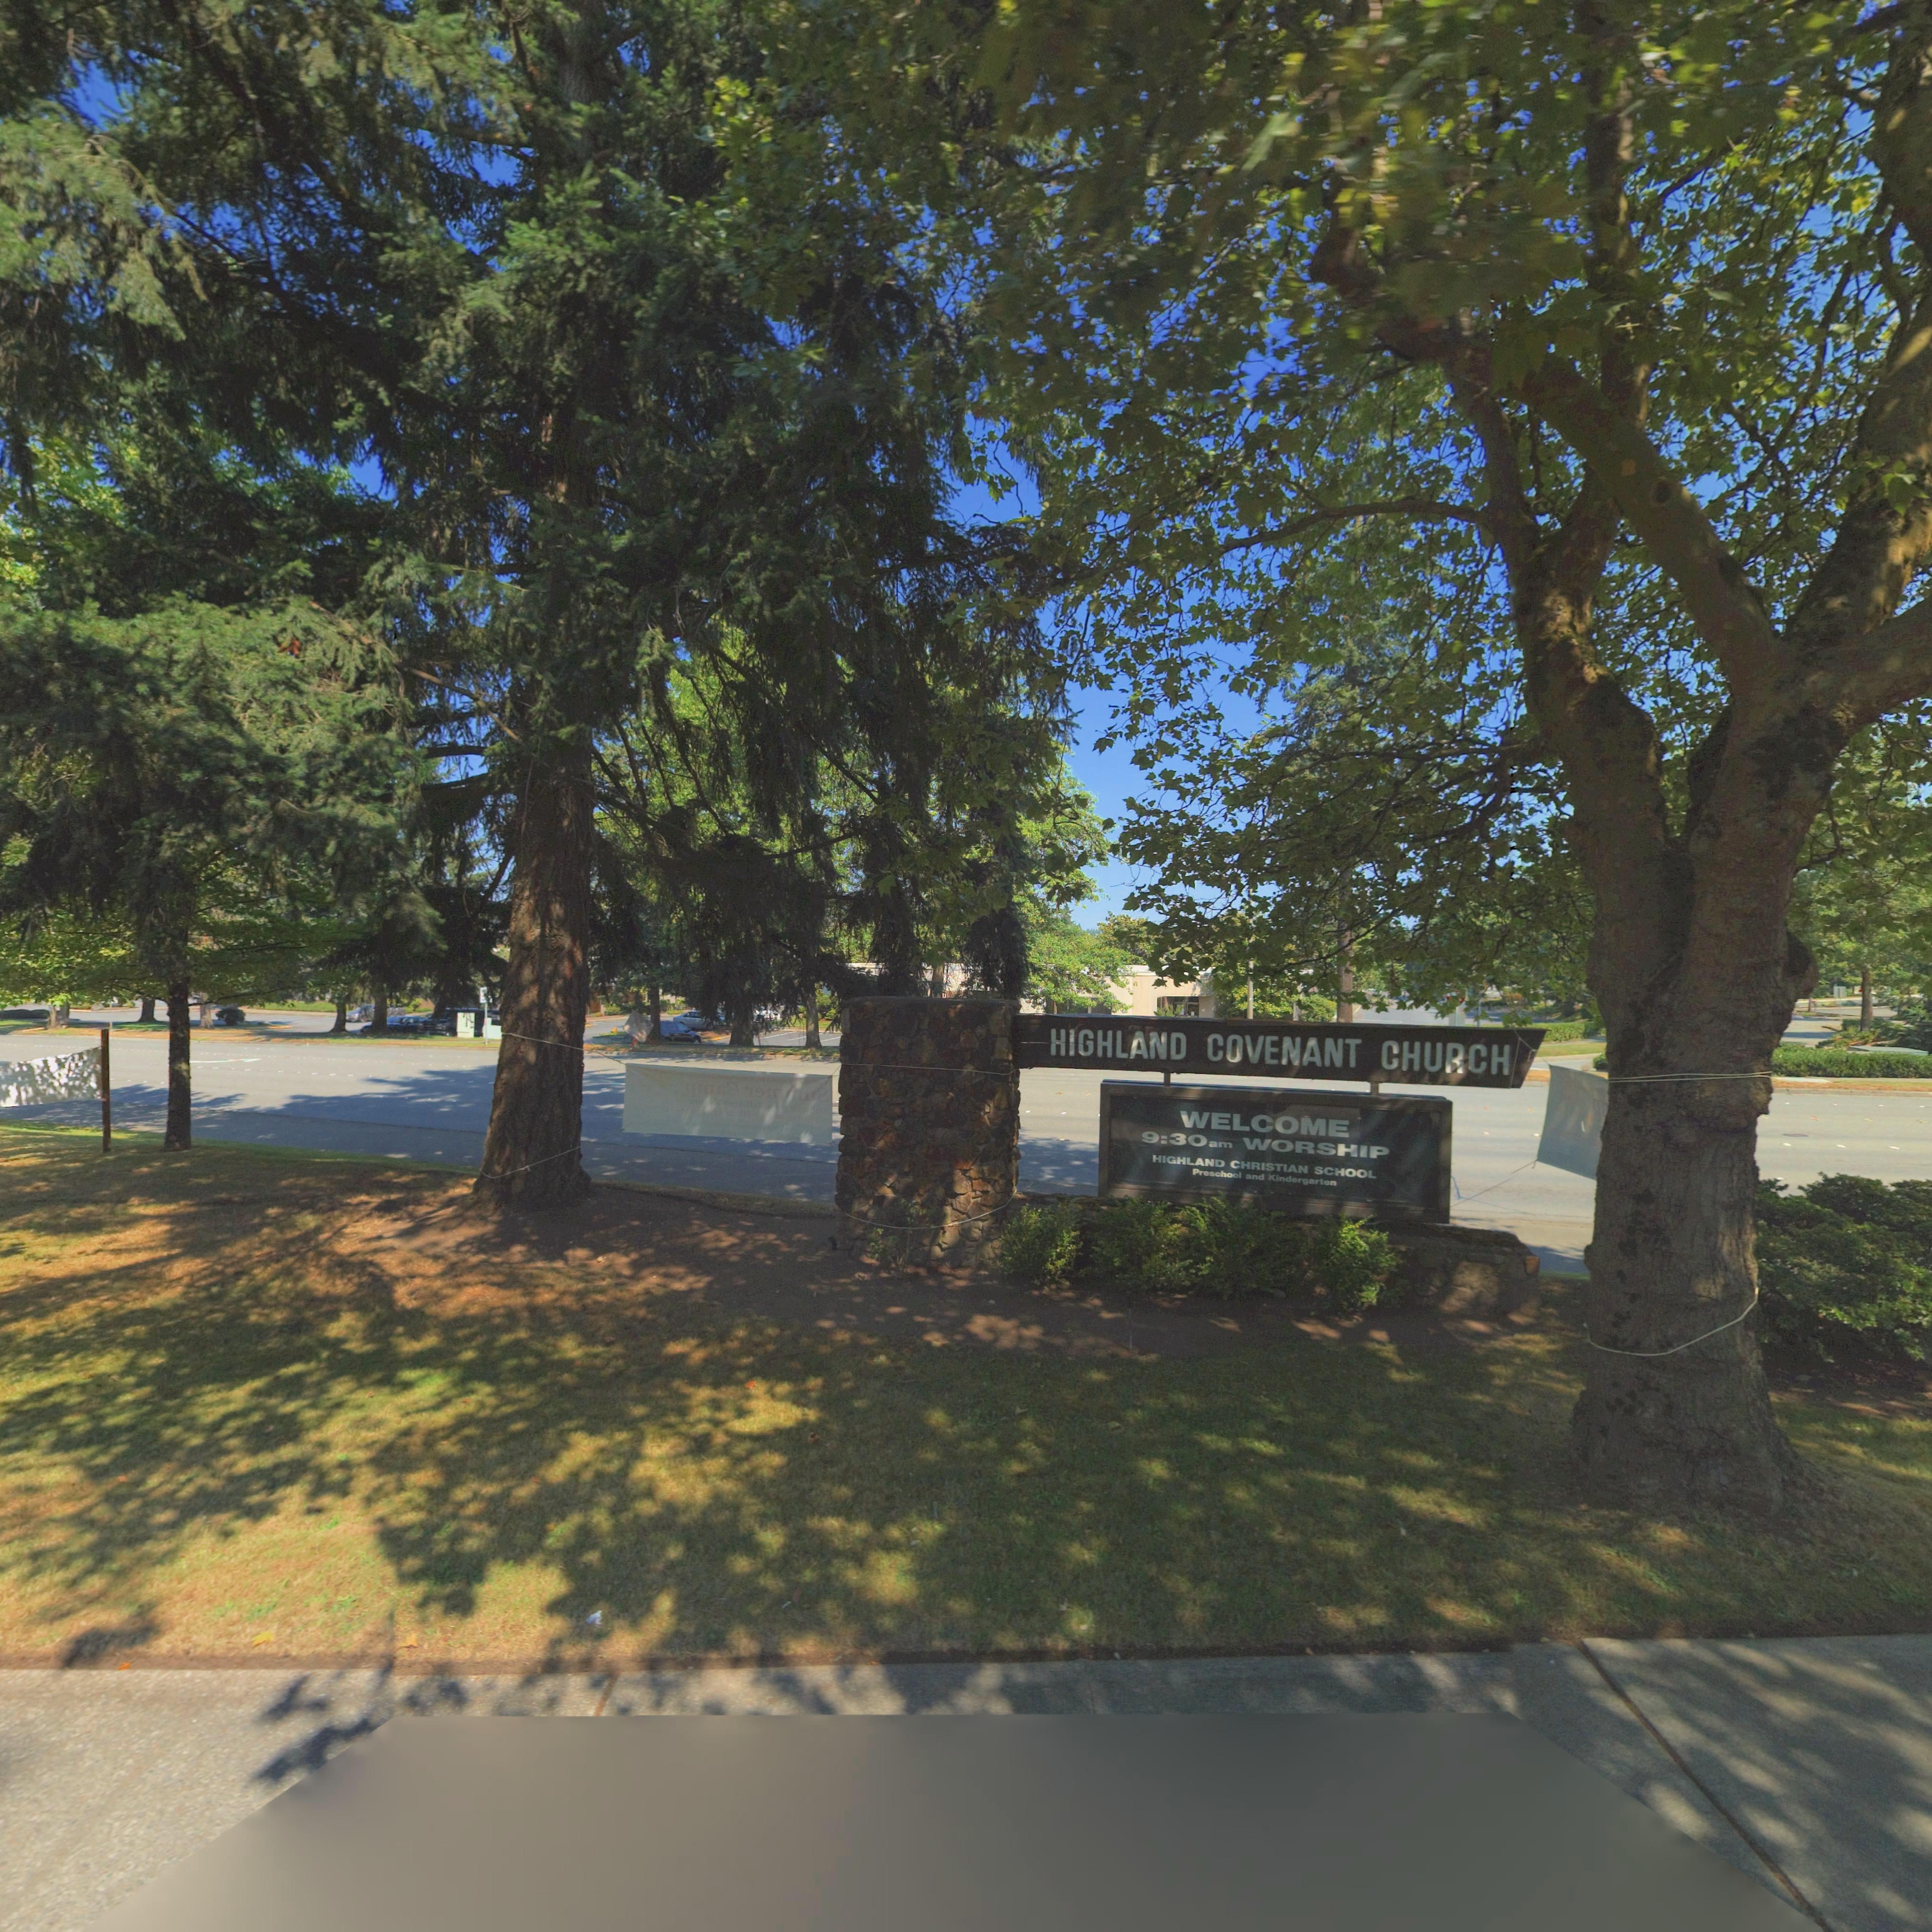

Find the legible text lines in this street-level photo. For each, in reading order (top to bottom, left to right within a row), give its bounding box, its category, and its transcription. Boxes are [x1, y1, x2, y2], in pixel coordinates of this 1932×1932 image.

[1044, 1024, 1517, 1078] BusinessName: HIGHLAND COVENANT CHURCH